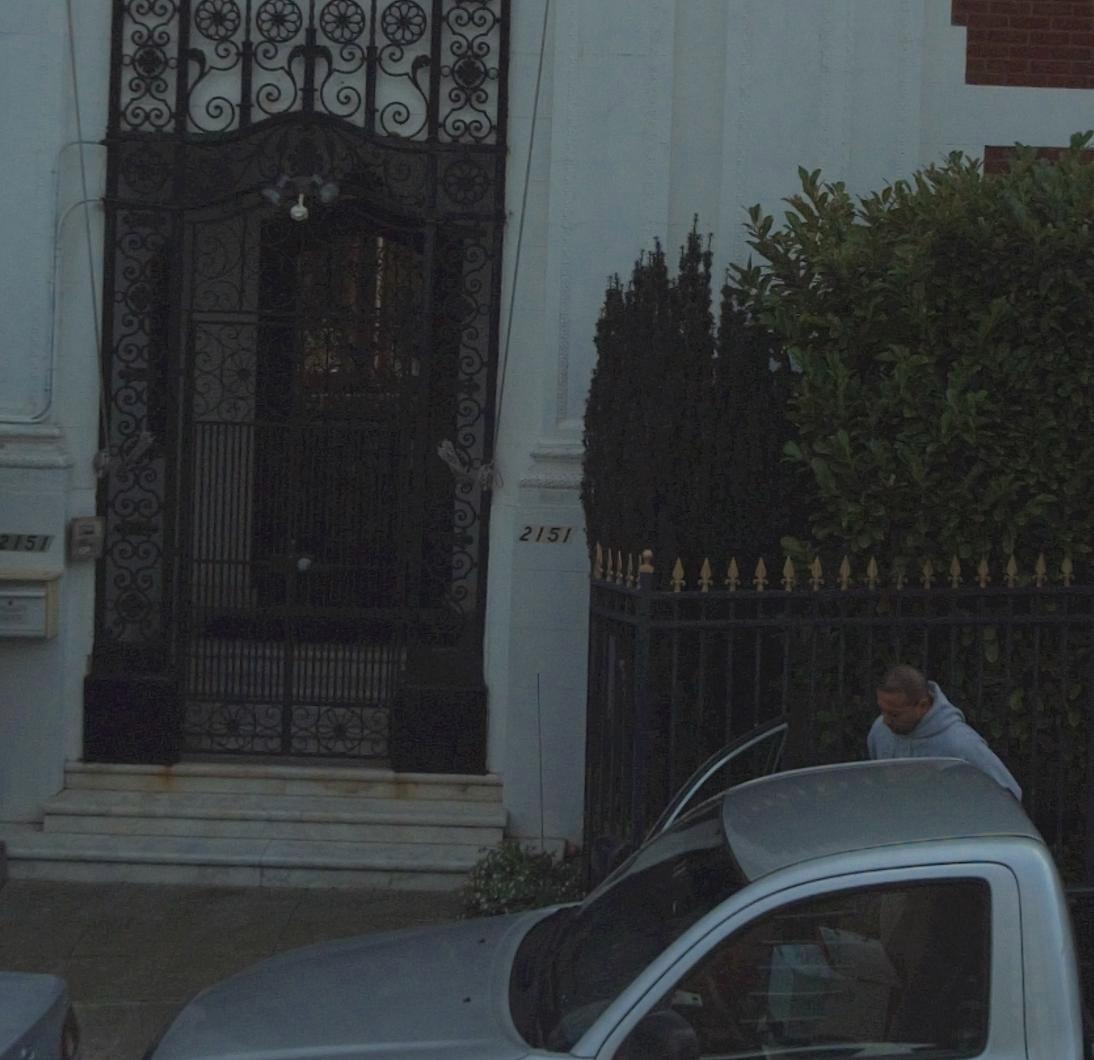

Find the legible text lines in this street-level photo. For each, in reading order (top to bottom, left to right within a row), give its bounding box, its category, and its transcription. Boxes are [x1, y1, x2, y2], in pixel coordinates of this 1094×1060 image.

[9, 531, 53, 554] StreetNumber: 151
[515, 523, 577, 546] StreetNumber: 2151